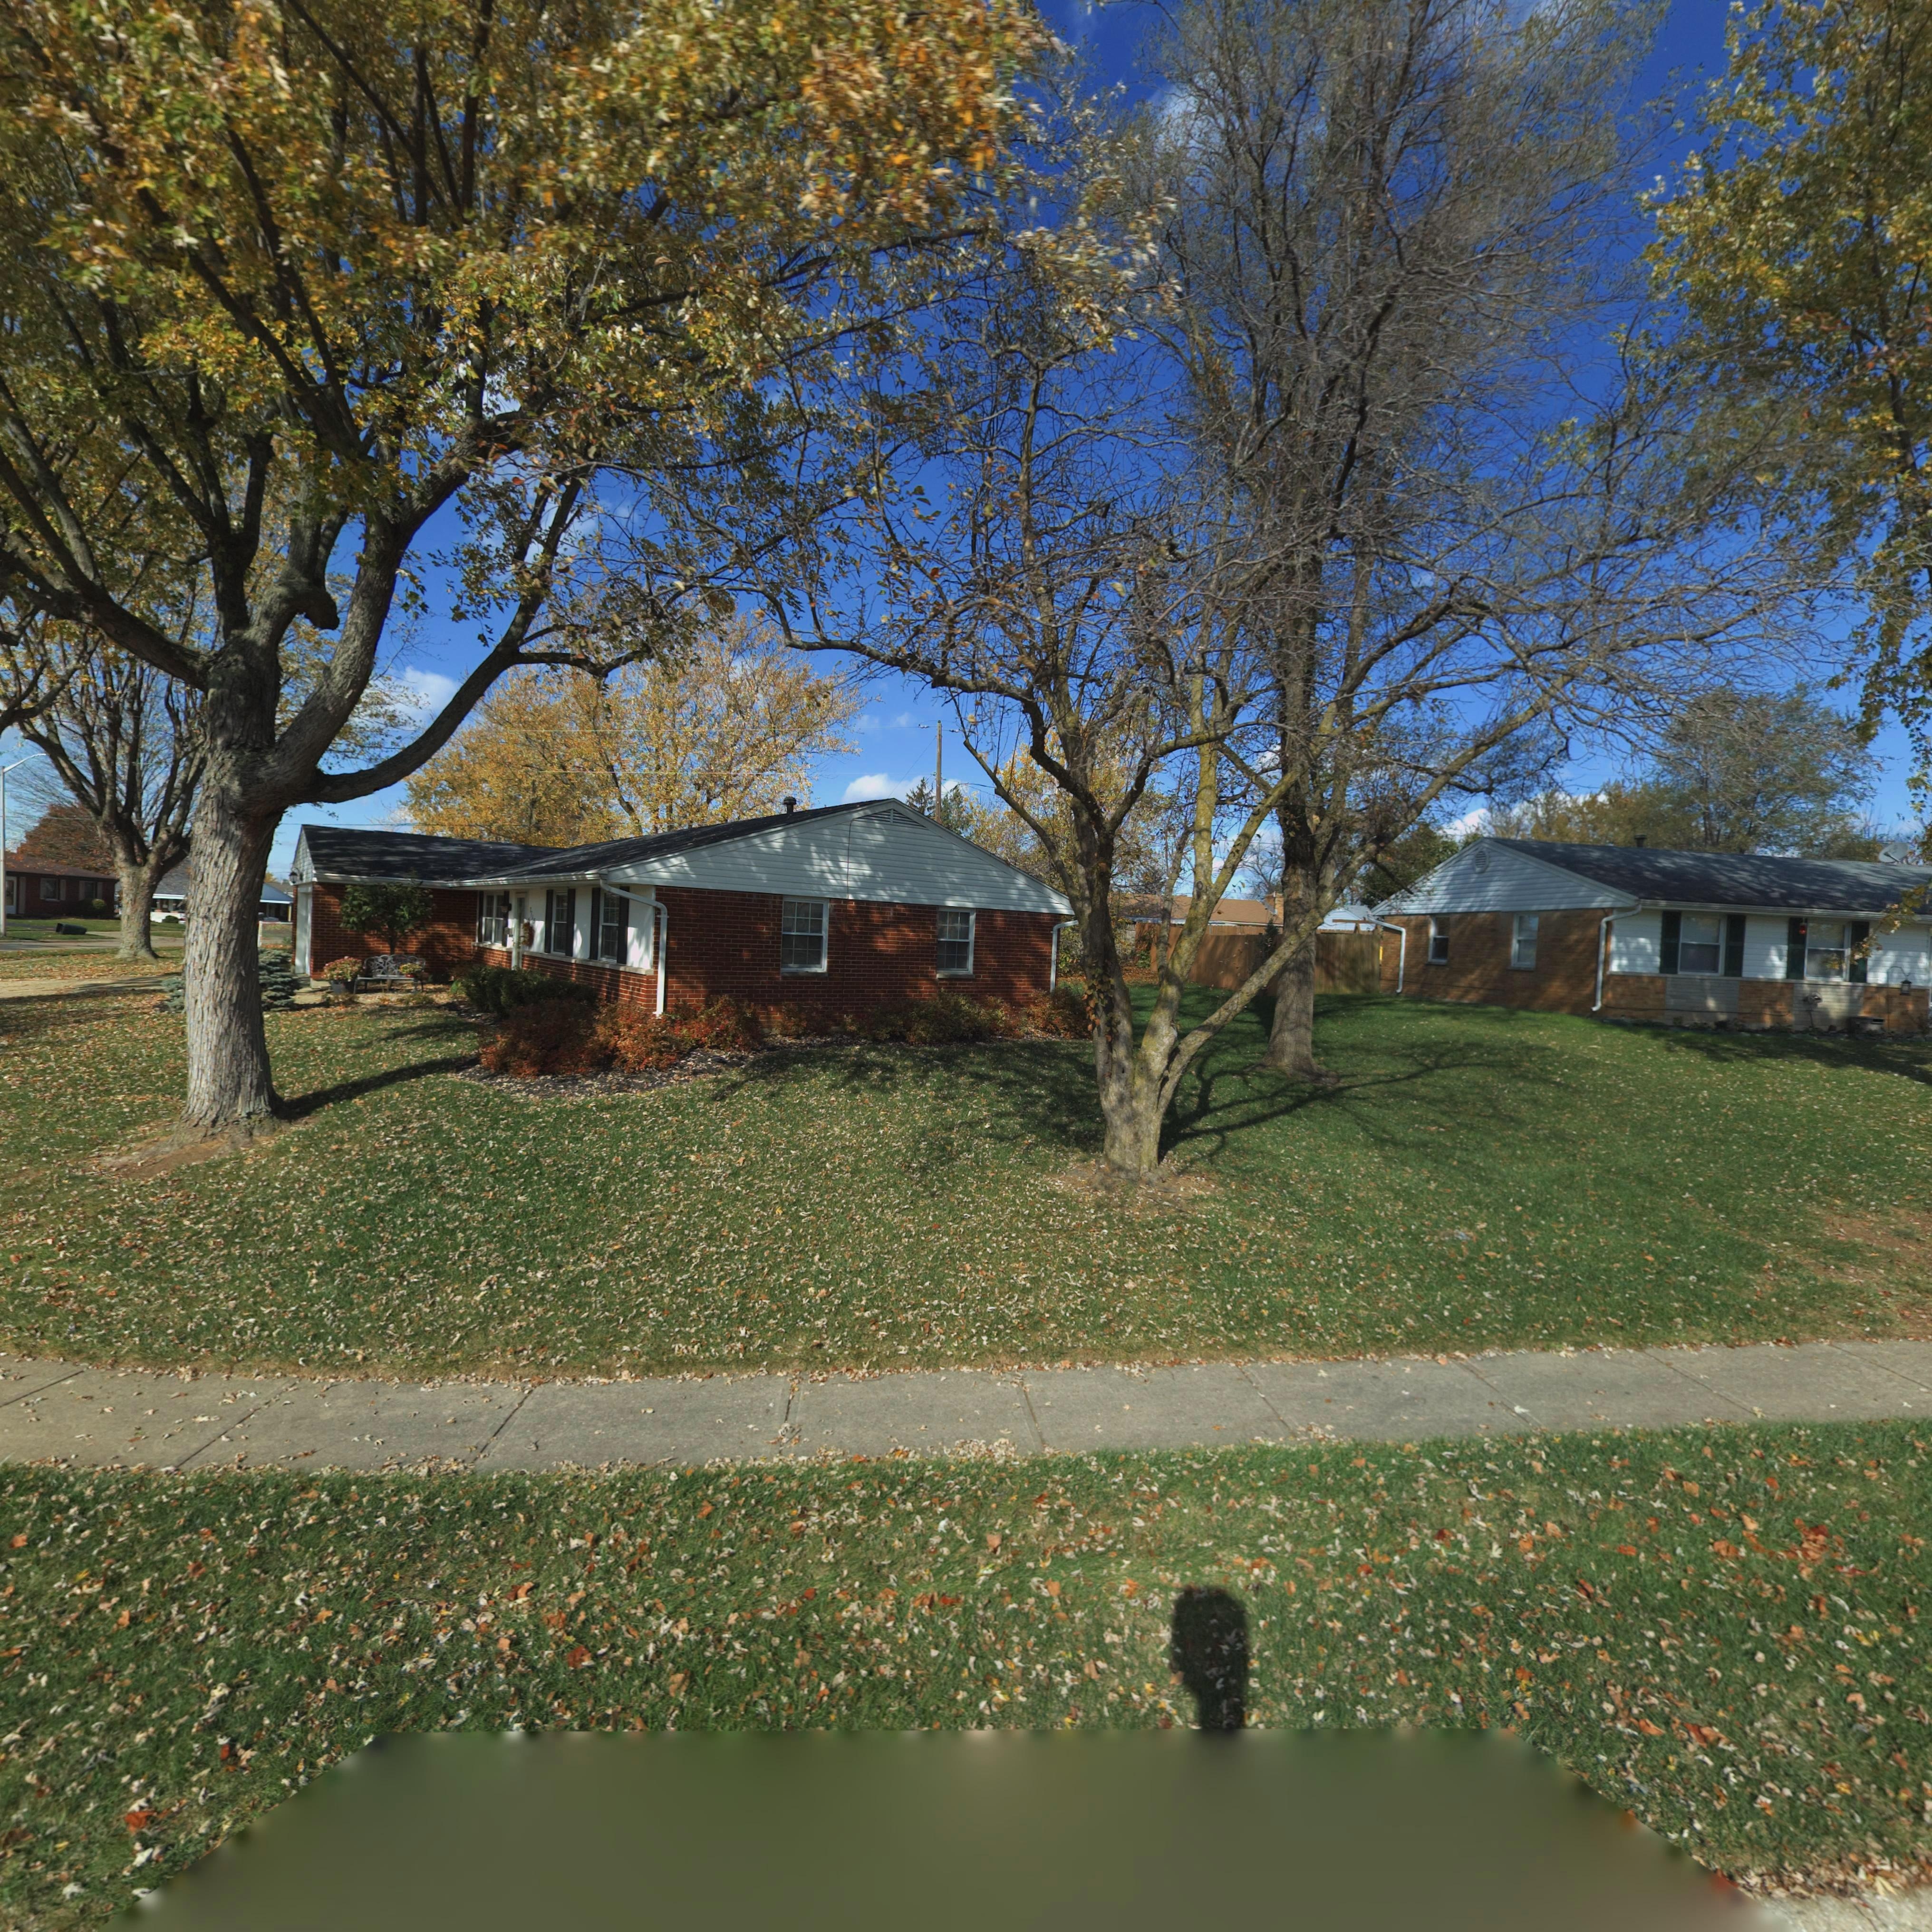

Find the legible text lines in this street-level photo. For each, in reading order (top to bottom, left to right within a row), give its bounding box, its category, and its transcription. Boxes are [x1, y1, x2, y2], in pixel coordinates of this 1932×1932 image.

[529, 907, 536, 925] StreetNumber: 7715